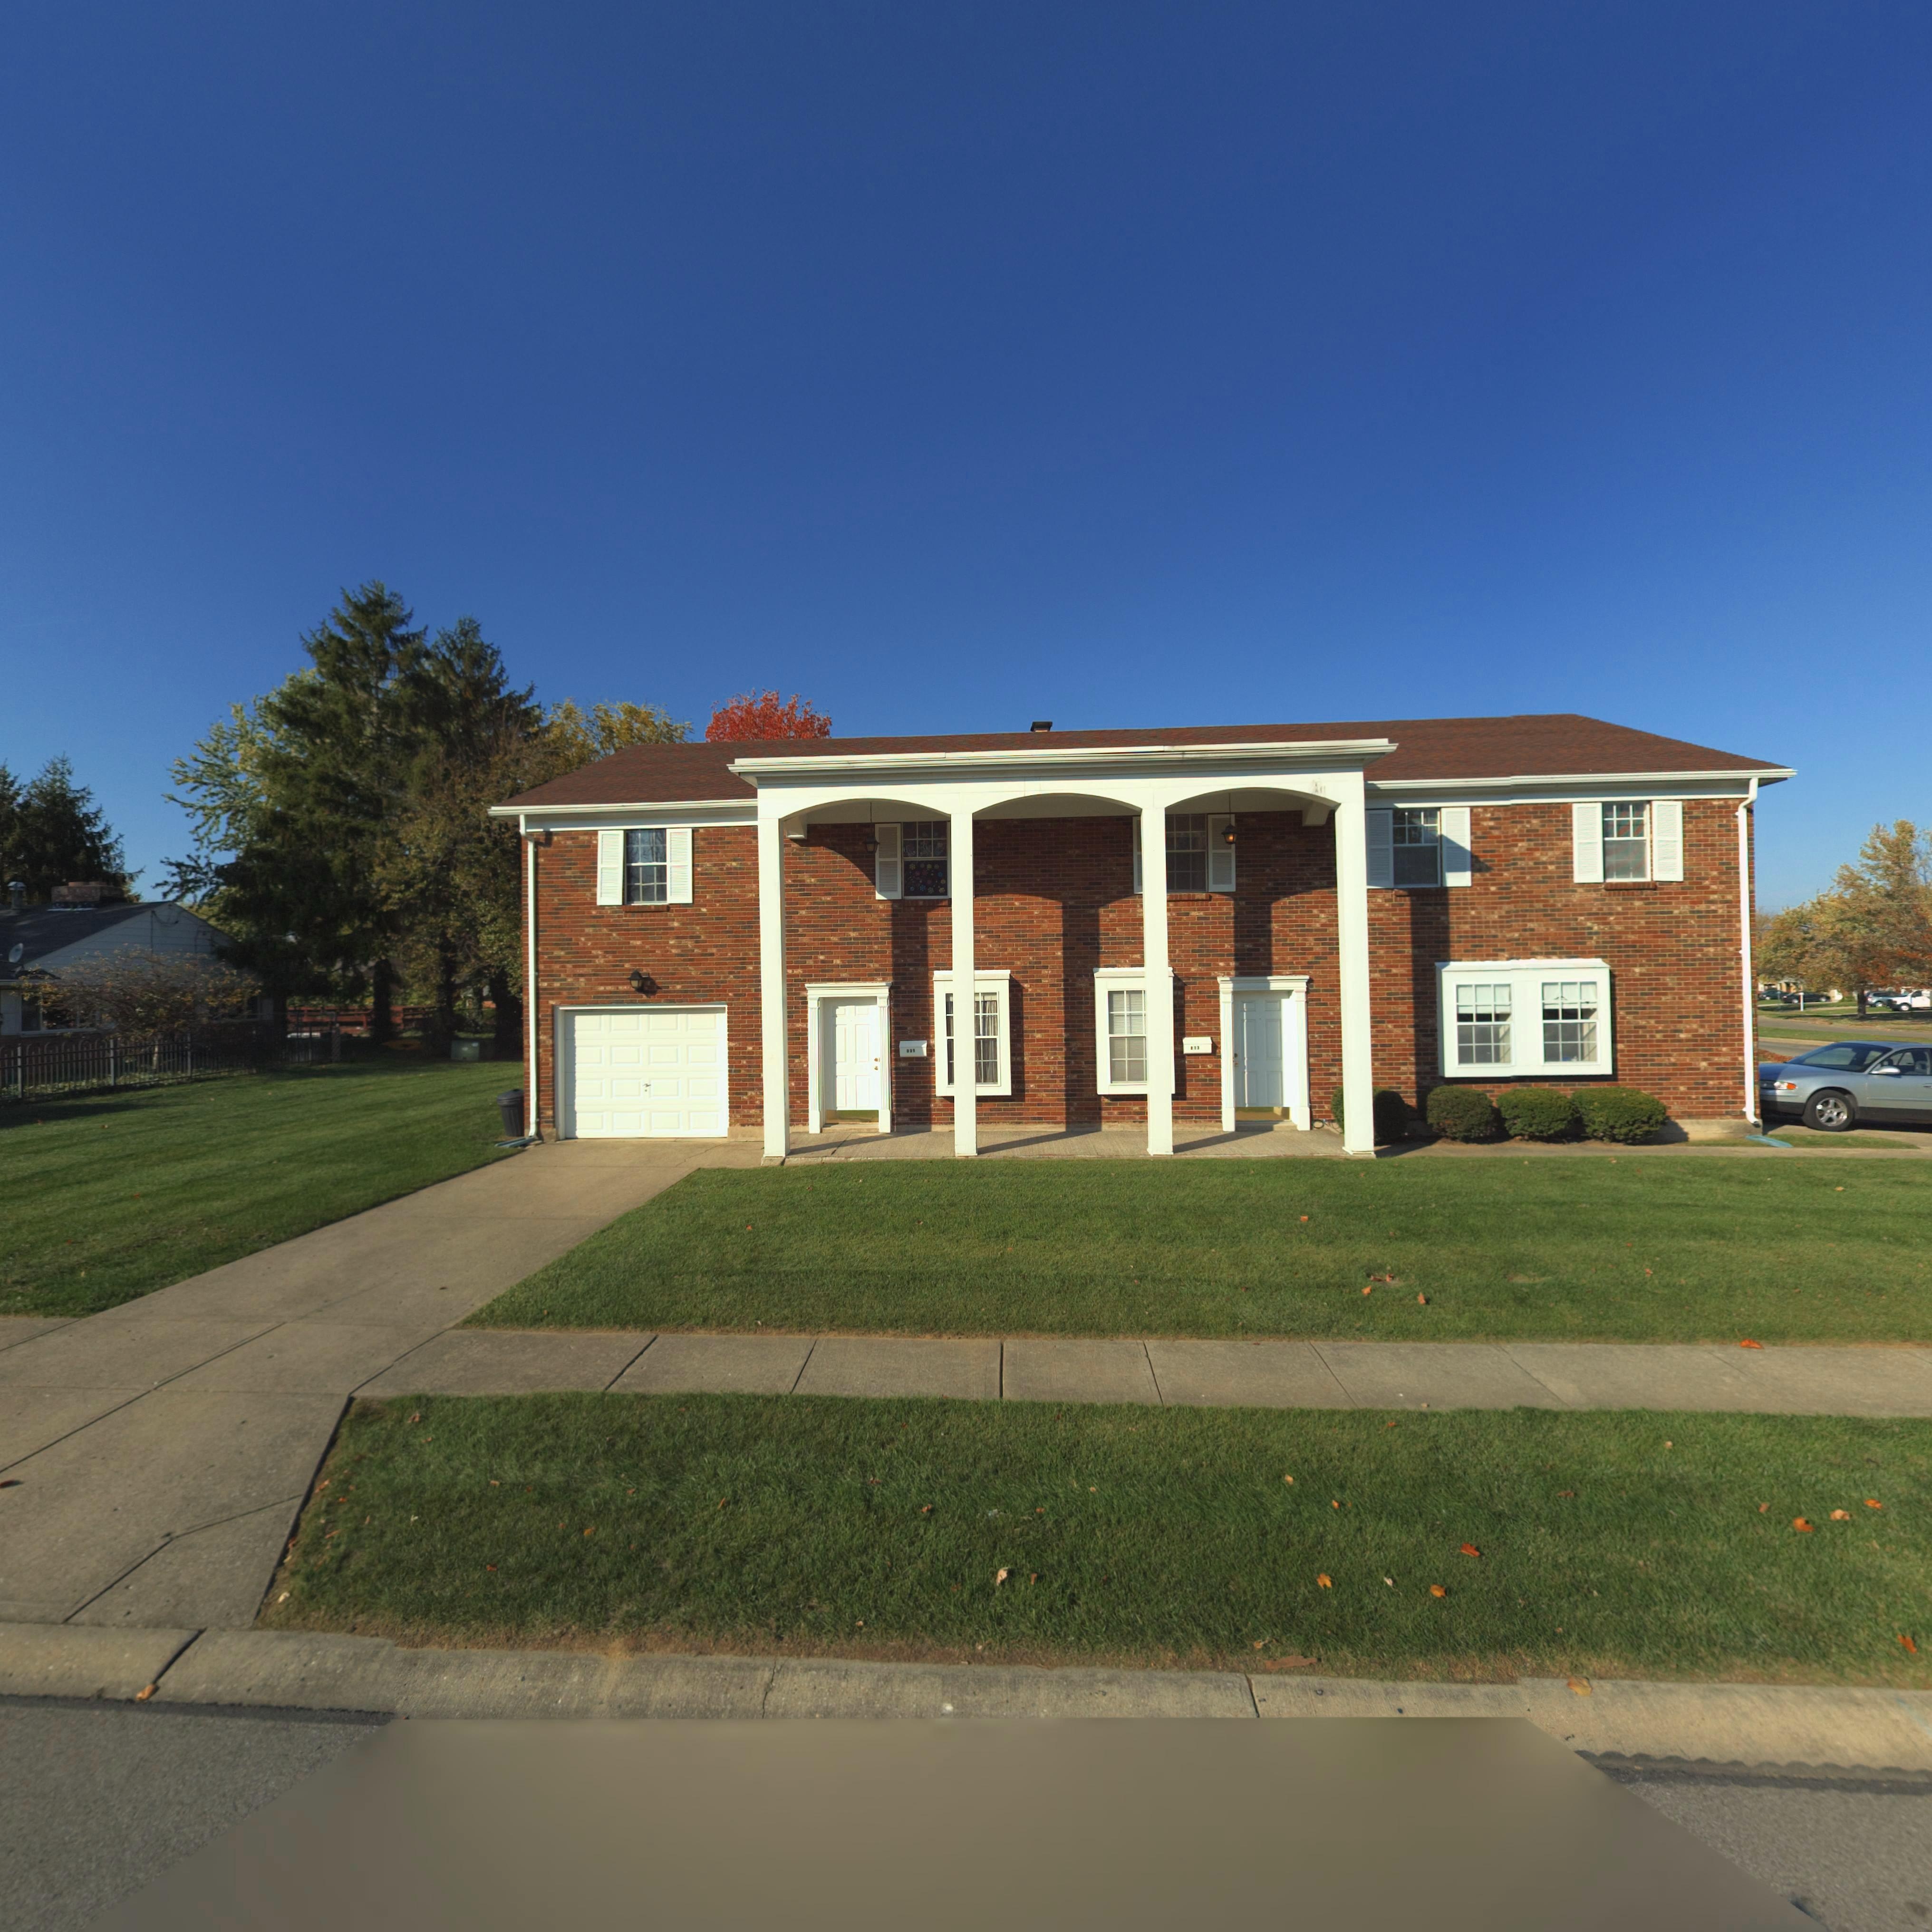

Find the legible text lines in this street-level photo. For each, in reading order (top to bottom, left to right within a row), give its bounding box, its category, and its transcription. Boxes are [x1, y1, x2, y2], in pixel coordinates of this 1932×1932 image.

[1189, 1045, 1200, 1051] StreetNumber: 813